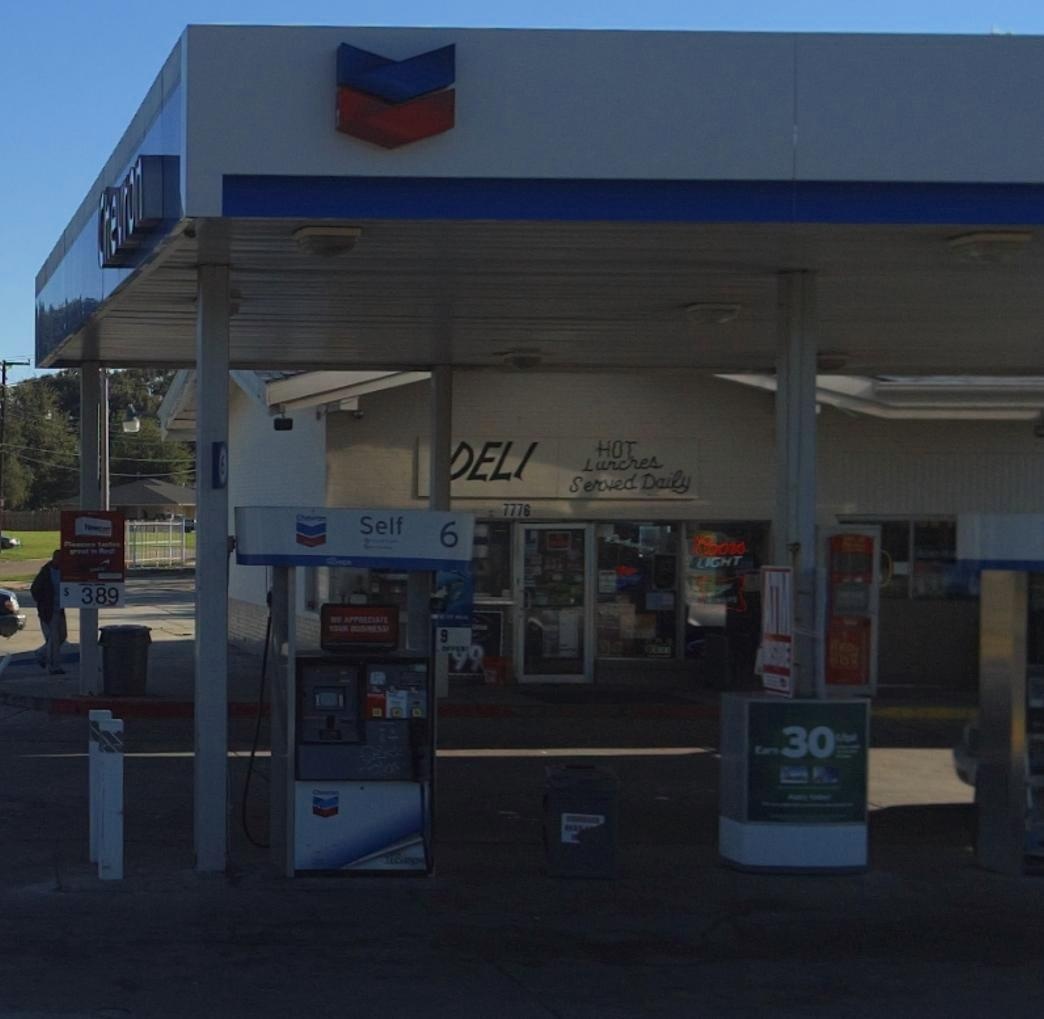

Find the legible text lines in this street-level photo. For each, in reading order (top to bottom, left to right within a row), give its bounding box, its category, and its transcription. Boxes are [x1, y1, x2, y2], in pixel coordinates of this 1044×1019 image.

[95, 142, 149, 279] BusinessName: Chevron
[218, 454, 227, 479] None: 6
[460, 437, 547, 485] None: ELI
[595, 438, 637, 460] None: HOT
[579, 453, 665, 473] None: Lunches
[565, 467, 694, 494] None: Served Daily
[500, 500, 544, 519] StreetNumber: 7778
[356, 512, 407, 537] None: Self
[437, 518, 461, 551] None: 6
[689, 531, 749, 558] None: Coors
[693, 553, 745, 573] None: LIGHT
[61, 584, 73, 601] None: $
[78, 583, 121, 605] None: 389
[757, 565, 794, 638] None: ATM
[437, 622, 450, 647] None: 9
[466, 640, 487, 677] None: 9
[758, 632, 794, 675] None: **S**E
[778, 721, 837, 764] None: 30